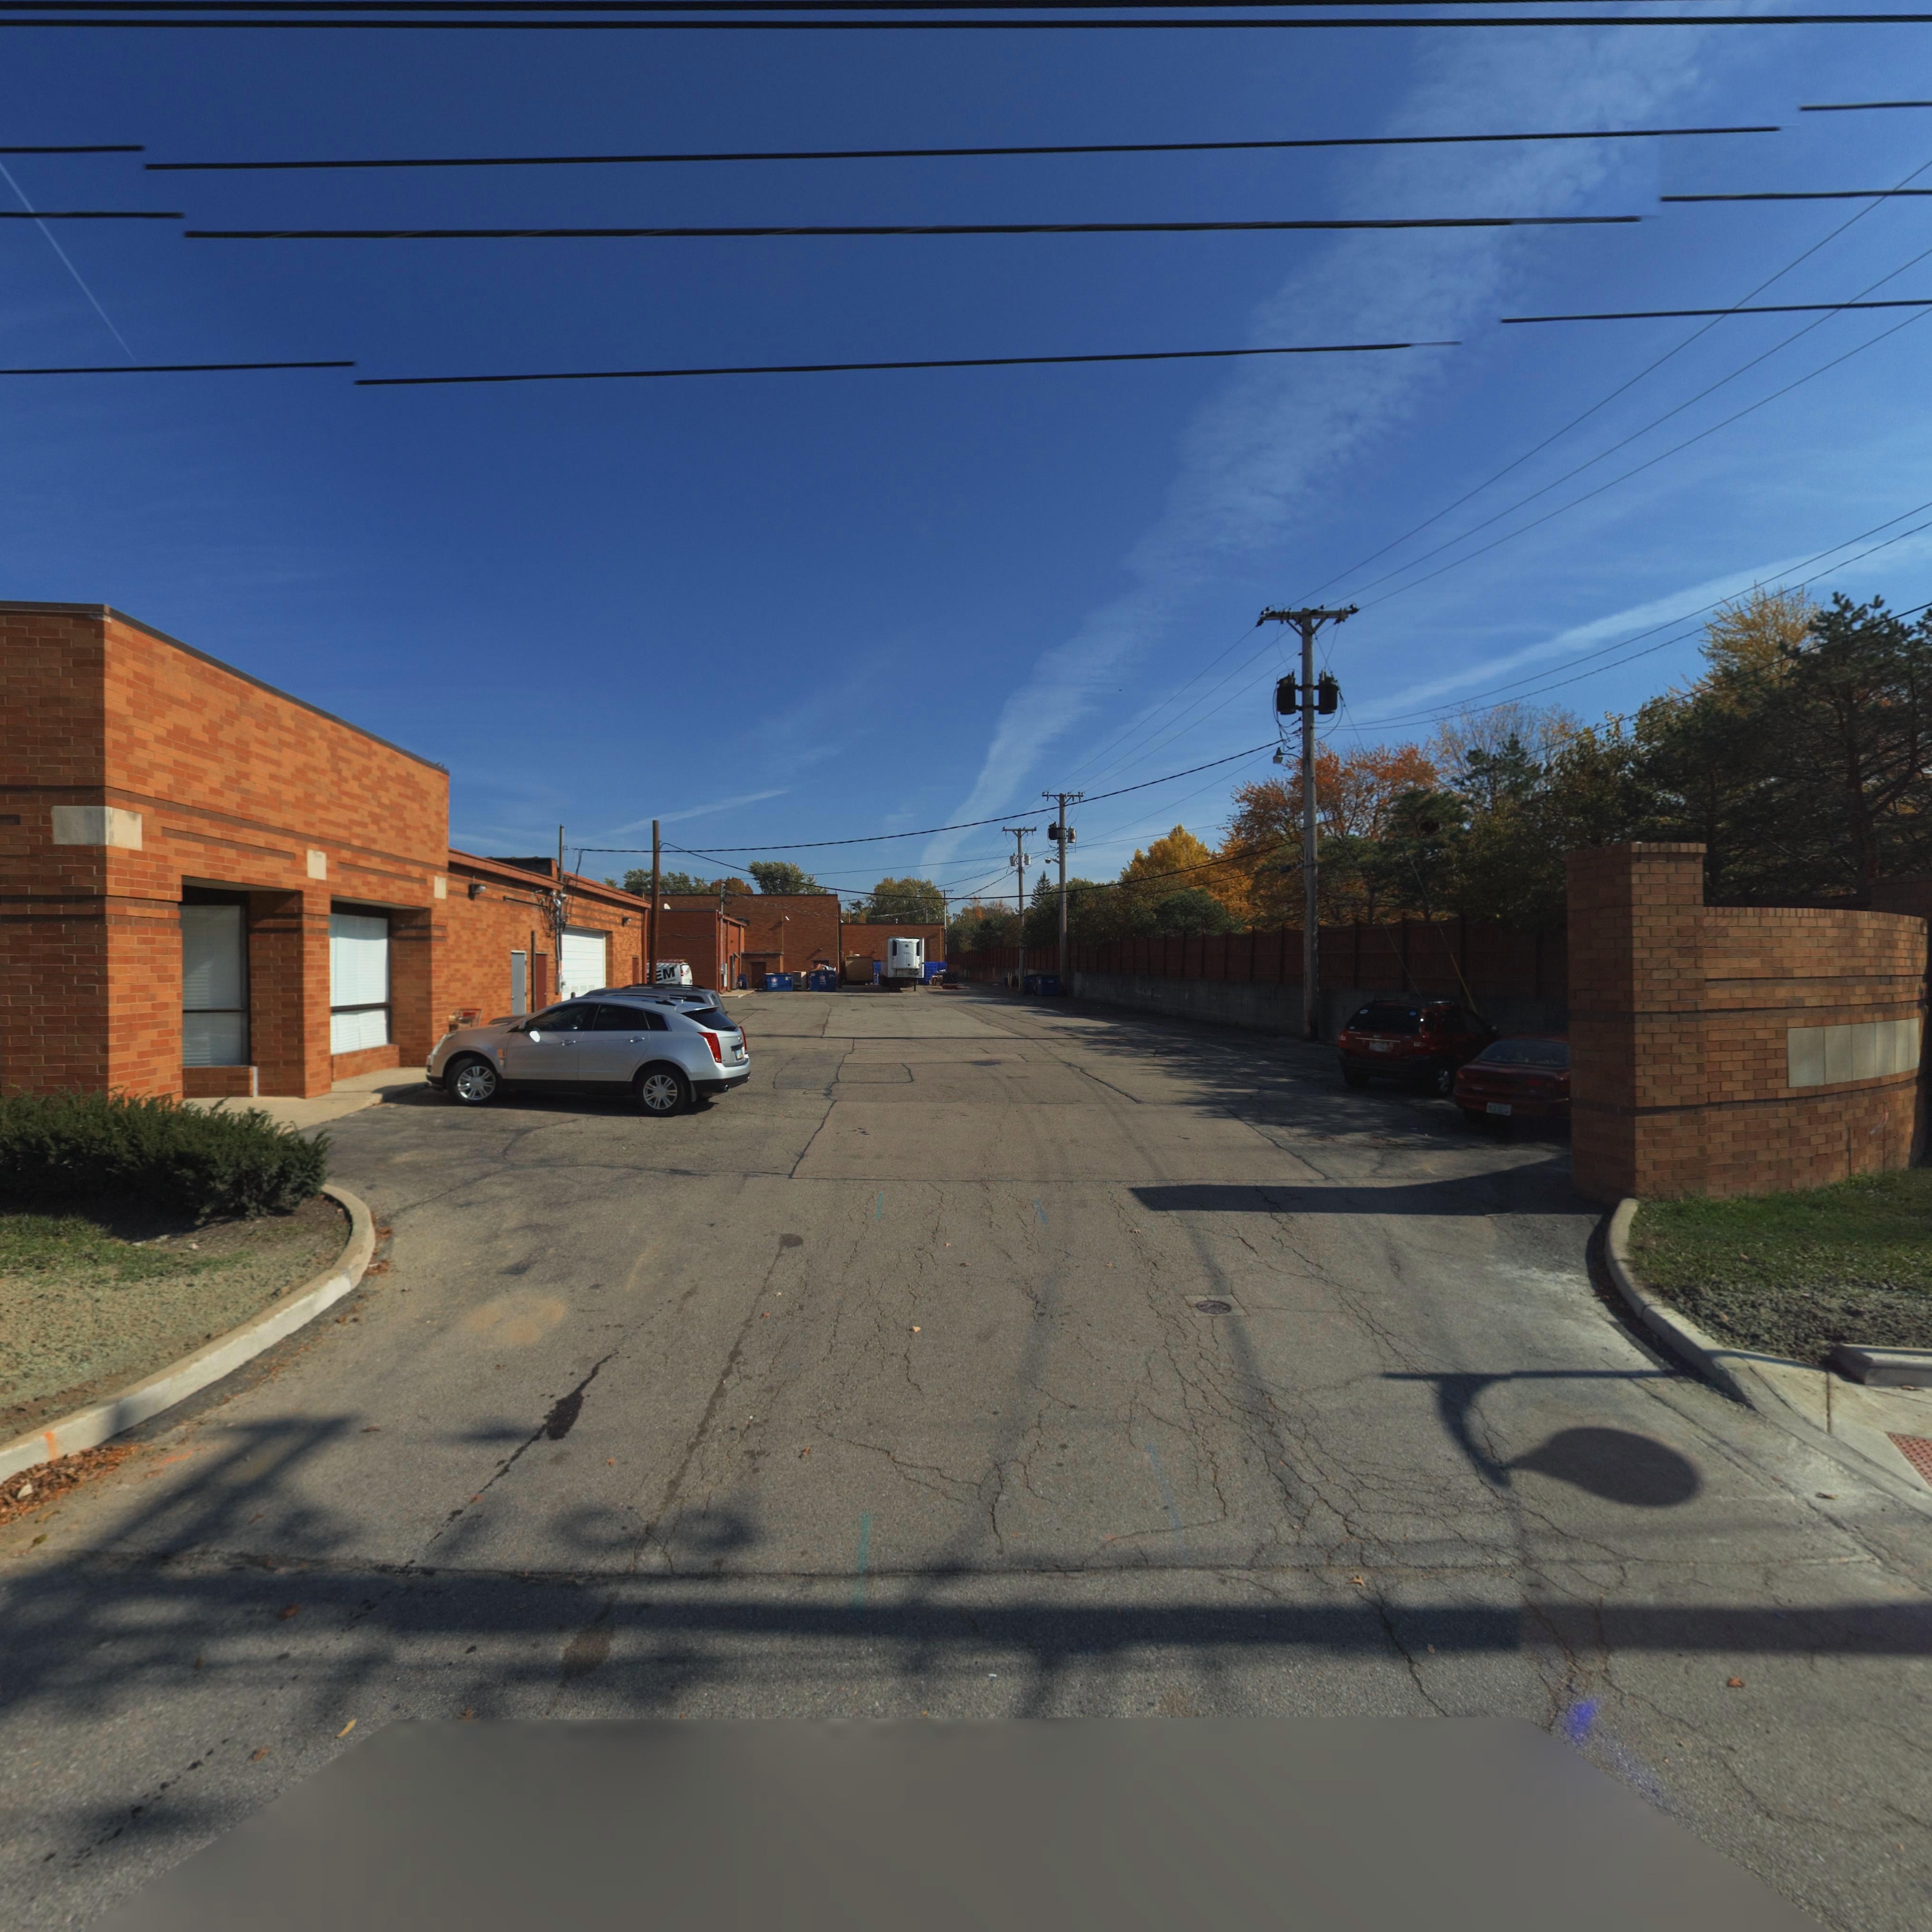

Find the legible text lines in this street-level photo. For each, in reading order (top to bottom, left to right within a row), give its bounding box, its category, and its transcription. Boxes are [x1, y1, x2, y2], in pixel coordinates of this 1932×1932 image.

[662, 966, 675, 980] None: M